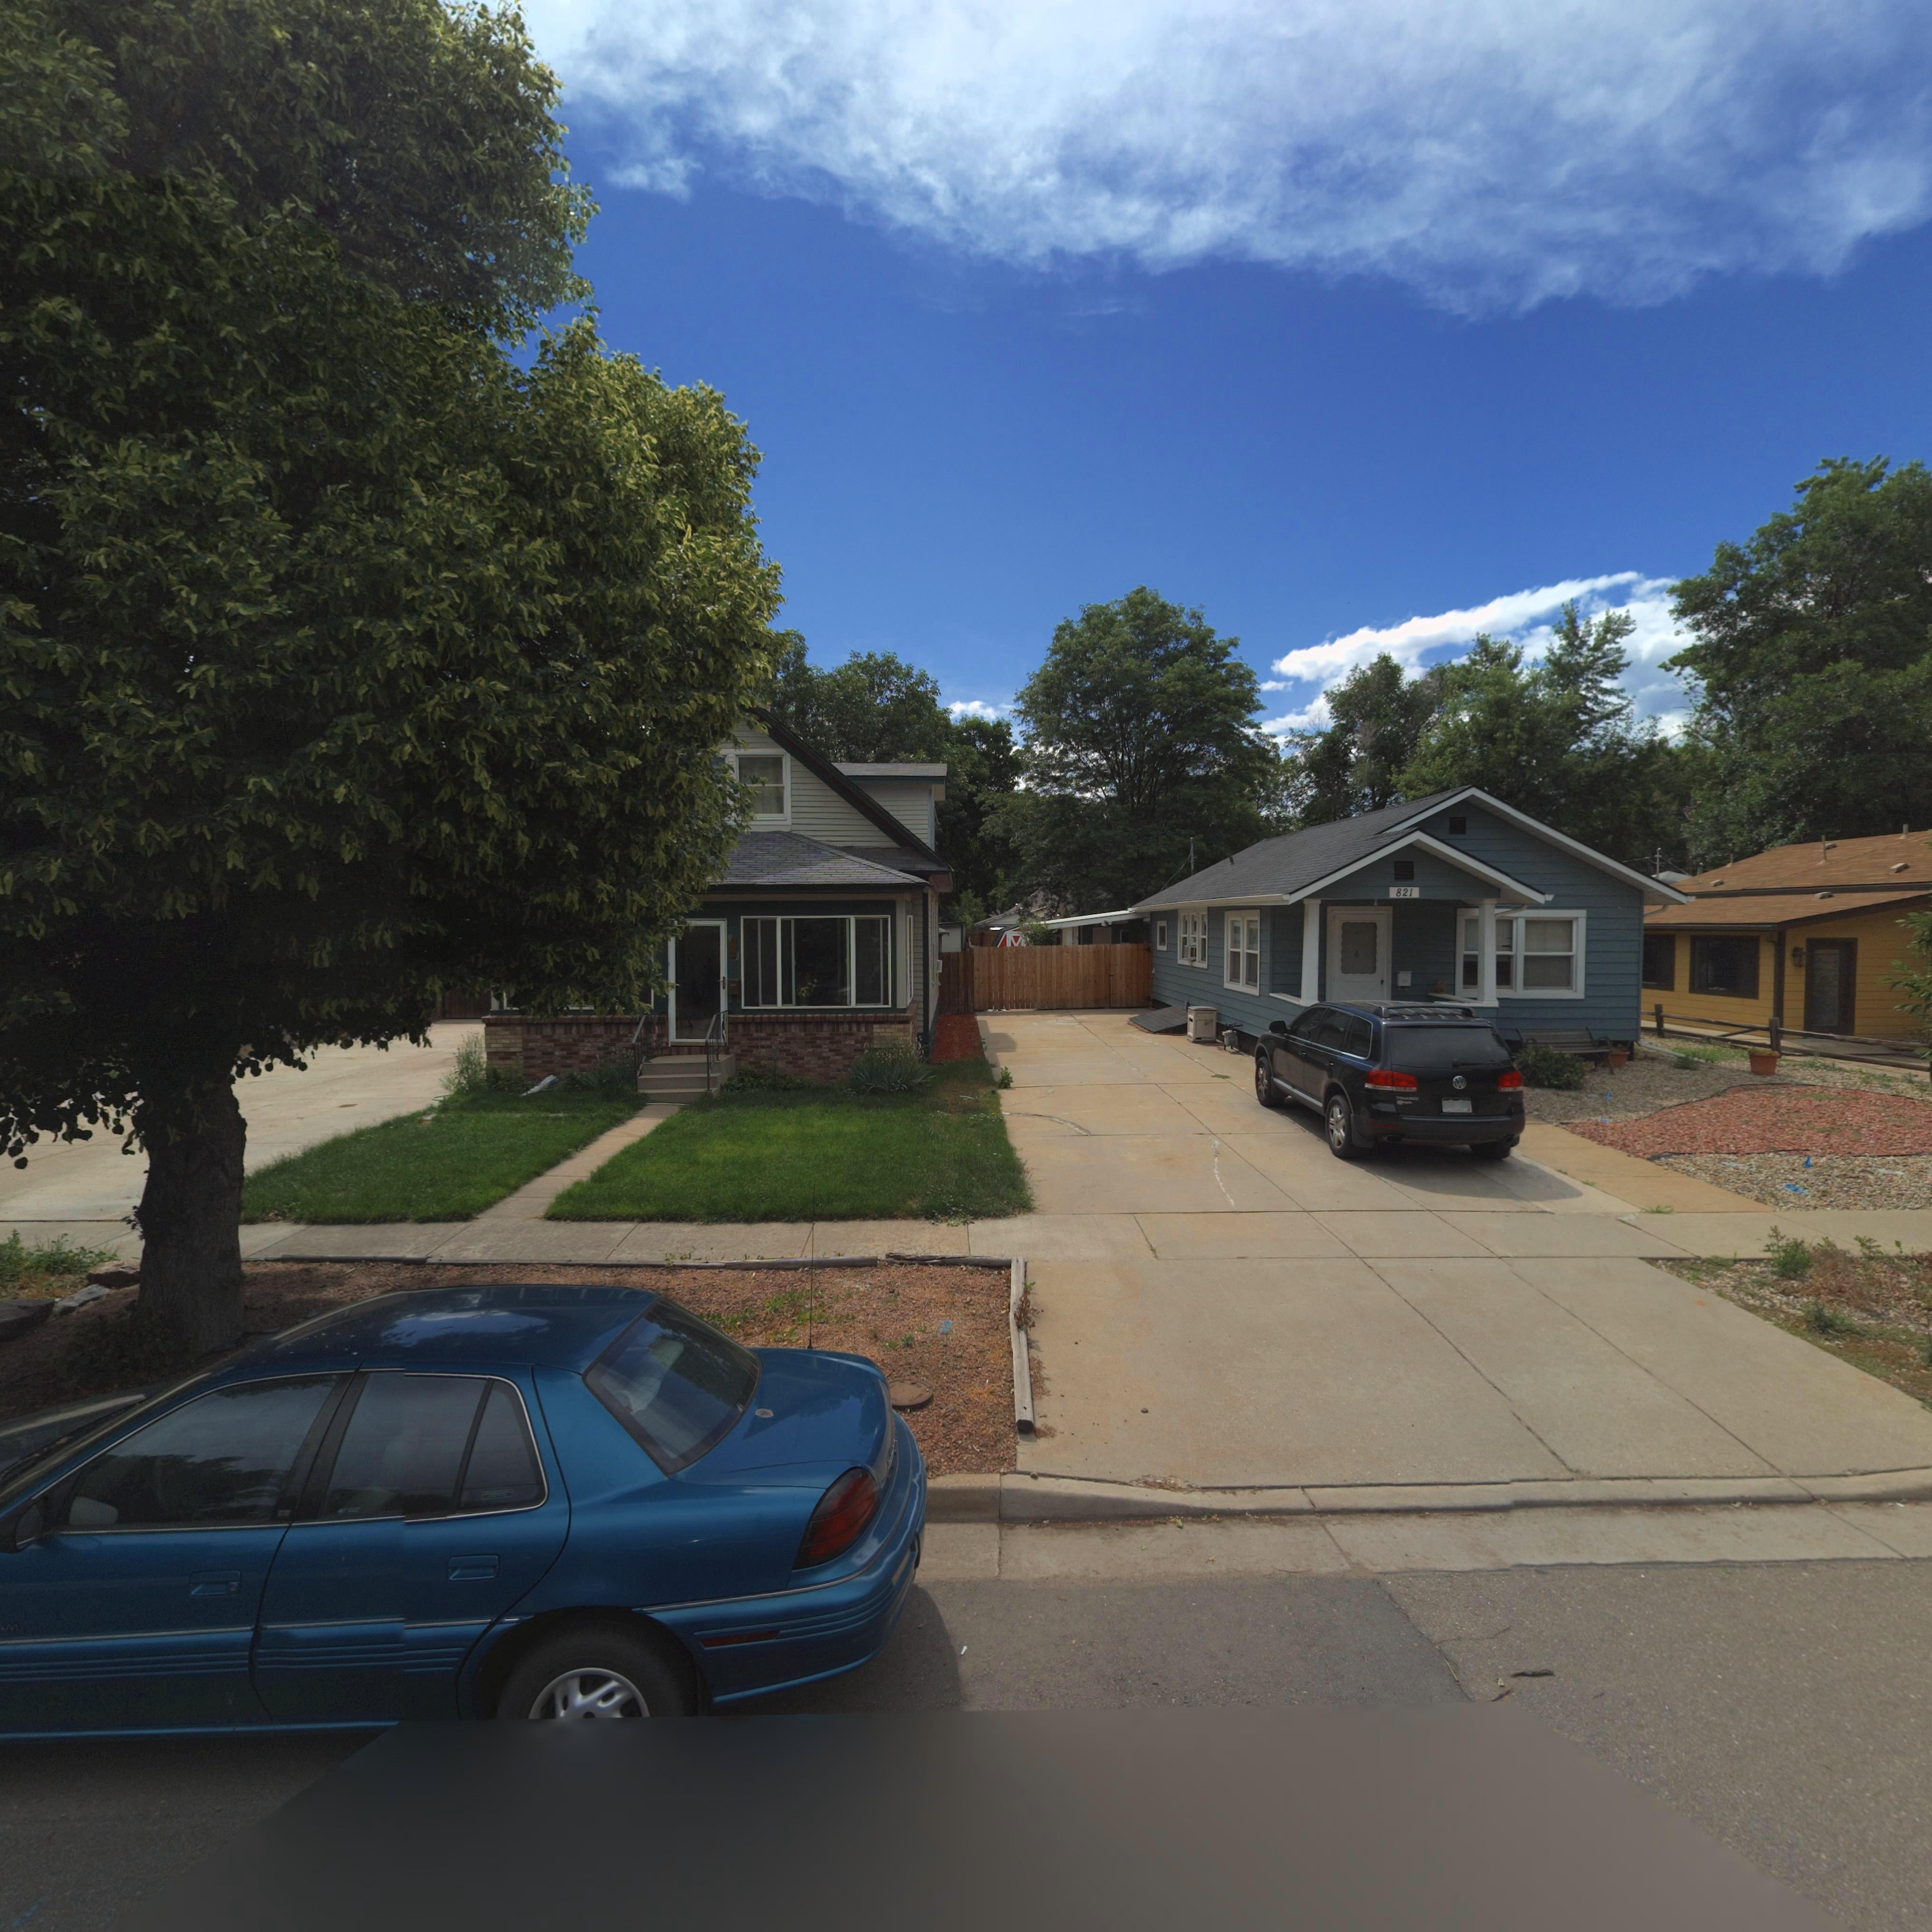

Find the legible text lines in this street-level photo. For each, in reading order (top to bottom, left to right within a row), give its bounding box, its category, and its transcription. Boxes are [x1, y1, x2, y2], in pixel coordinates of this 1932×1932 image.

[1396, 888, 1412, 897] StreetNumber: 821
[731, 937, 735, 957] StreetNumber: 81*